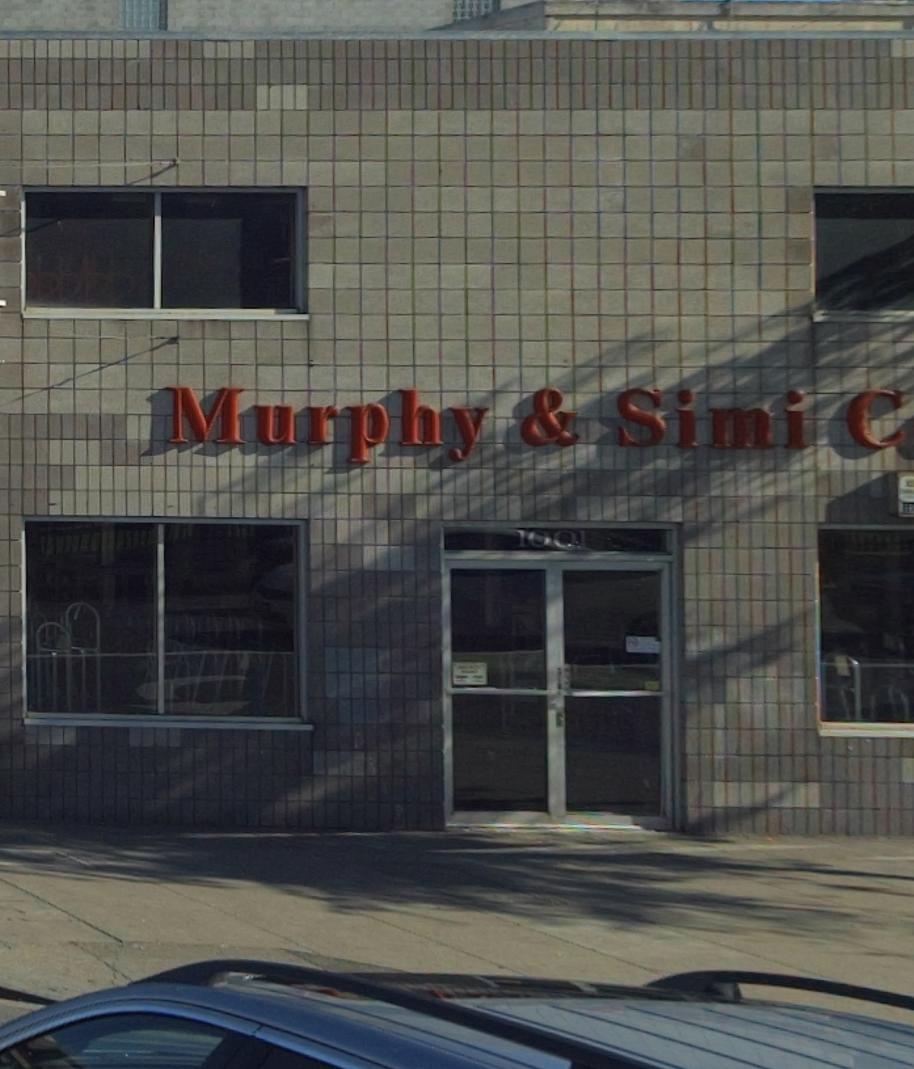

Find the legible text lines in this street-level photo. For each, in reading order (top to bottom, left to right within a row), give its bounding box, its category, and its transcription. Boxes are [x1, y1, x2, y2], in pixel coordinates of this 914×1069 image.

[161, 384, 907, 465] BusinessName: Murphy & Simi C
[515, 529, 591, 551] StreetNumber: 1001